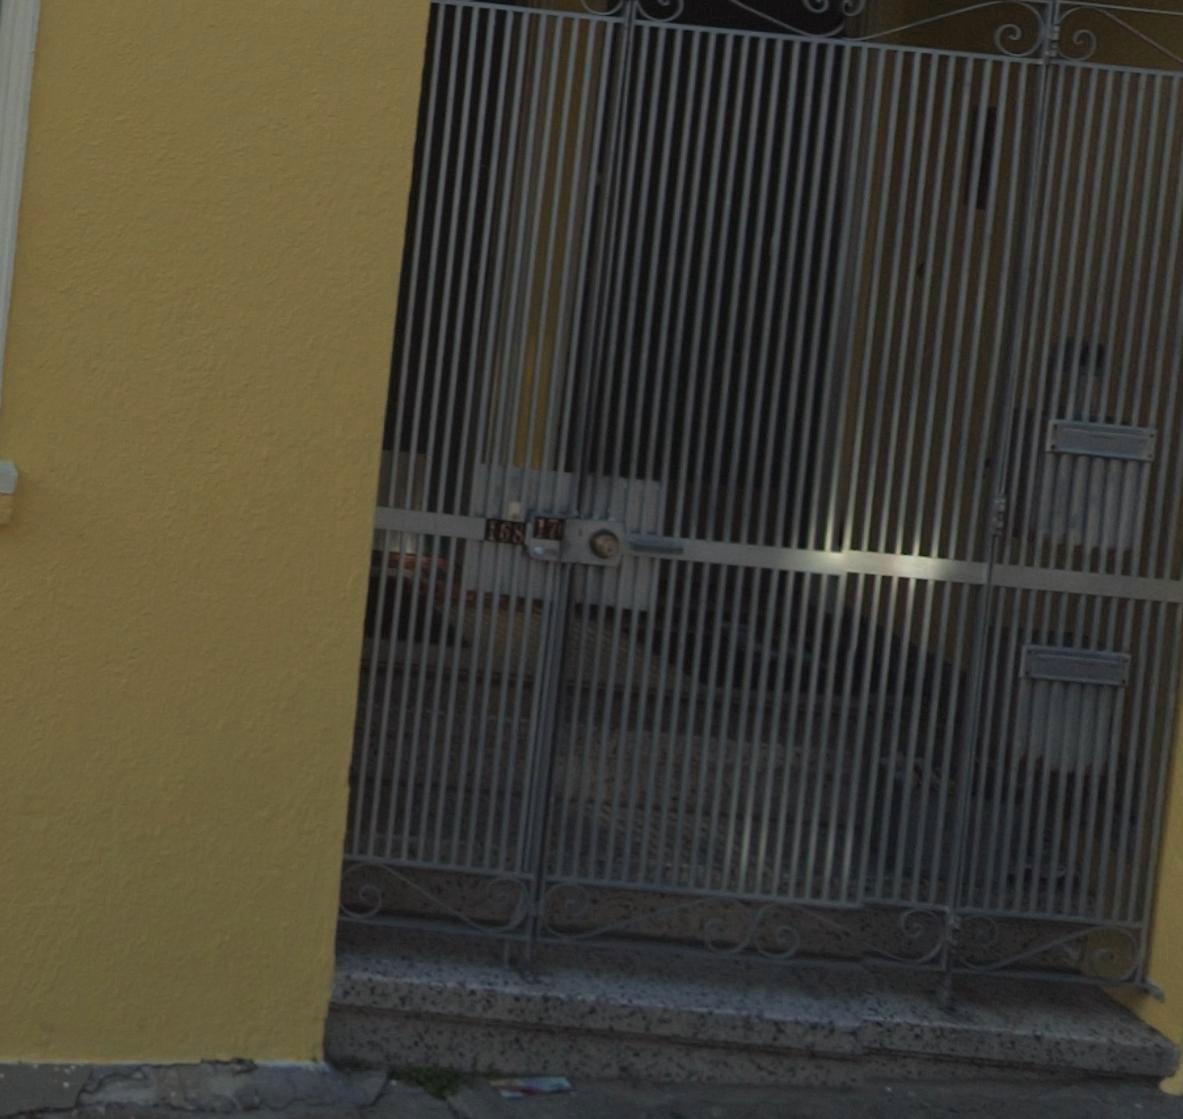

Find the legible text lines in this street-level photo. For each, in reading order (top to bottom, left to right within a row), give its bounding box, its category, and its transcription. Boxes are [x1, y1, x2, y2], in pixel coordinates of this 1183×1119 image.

[483, 516, 529, 547] StreetNumber: 168
[533, 514, 565, 541] StreetNumber: 17*